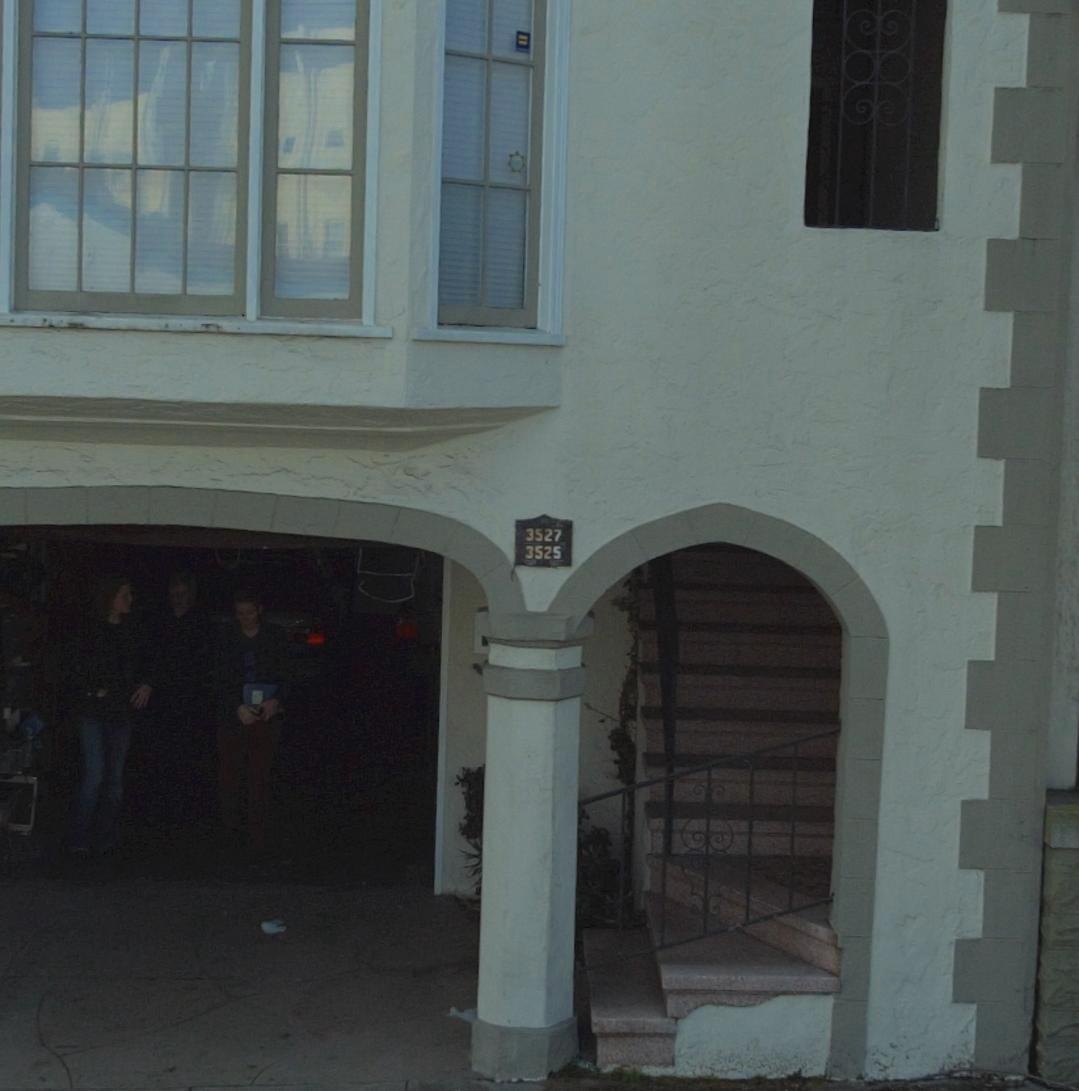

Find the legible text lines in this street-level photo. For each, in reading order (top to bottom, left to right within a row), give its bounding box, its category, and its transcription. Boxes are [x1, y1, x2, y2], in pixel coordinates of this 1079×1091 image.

[524, 527, 563, 543] StreetNumber: 3527
[524, 544, 562, 559] StreetNumber: 3525